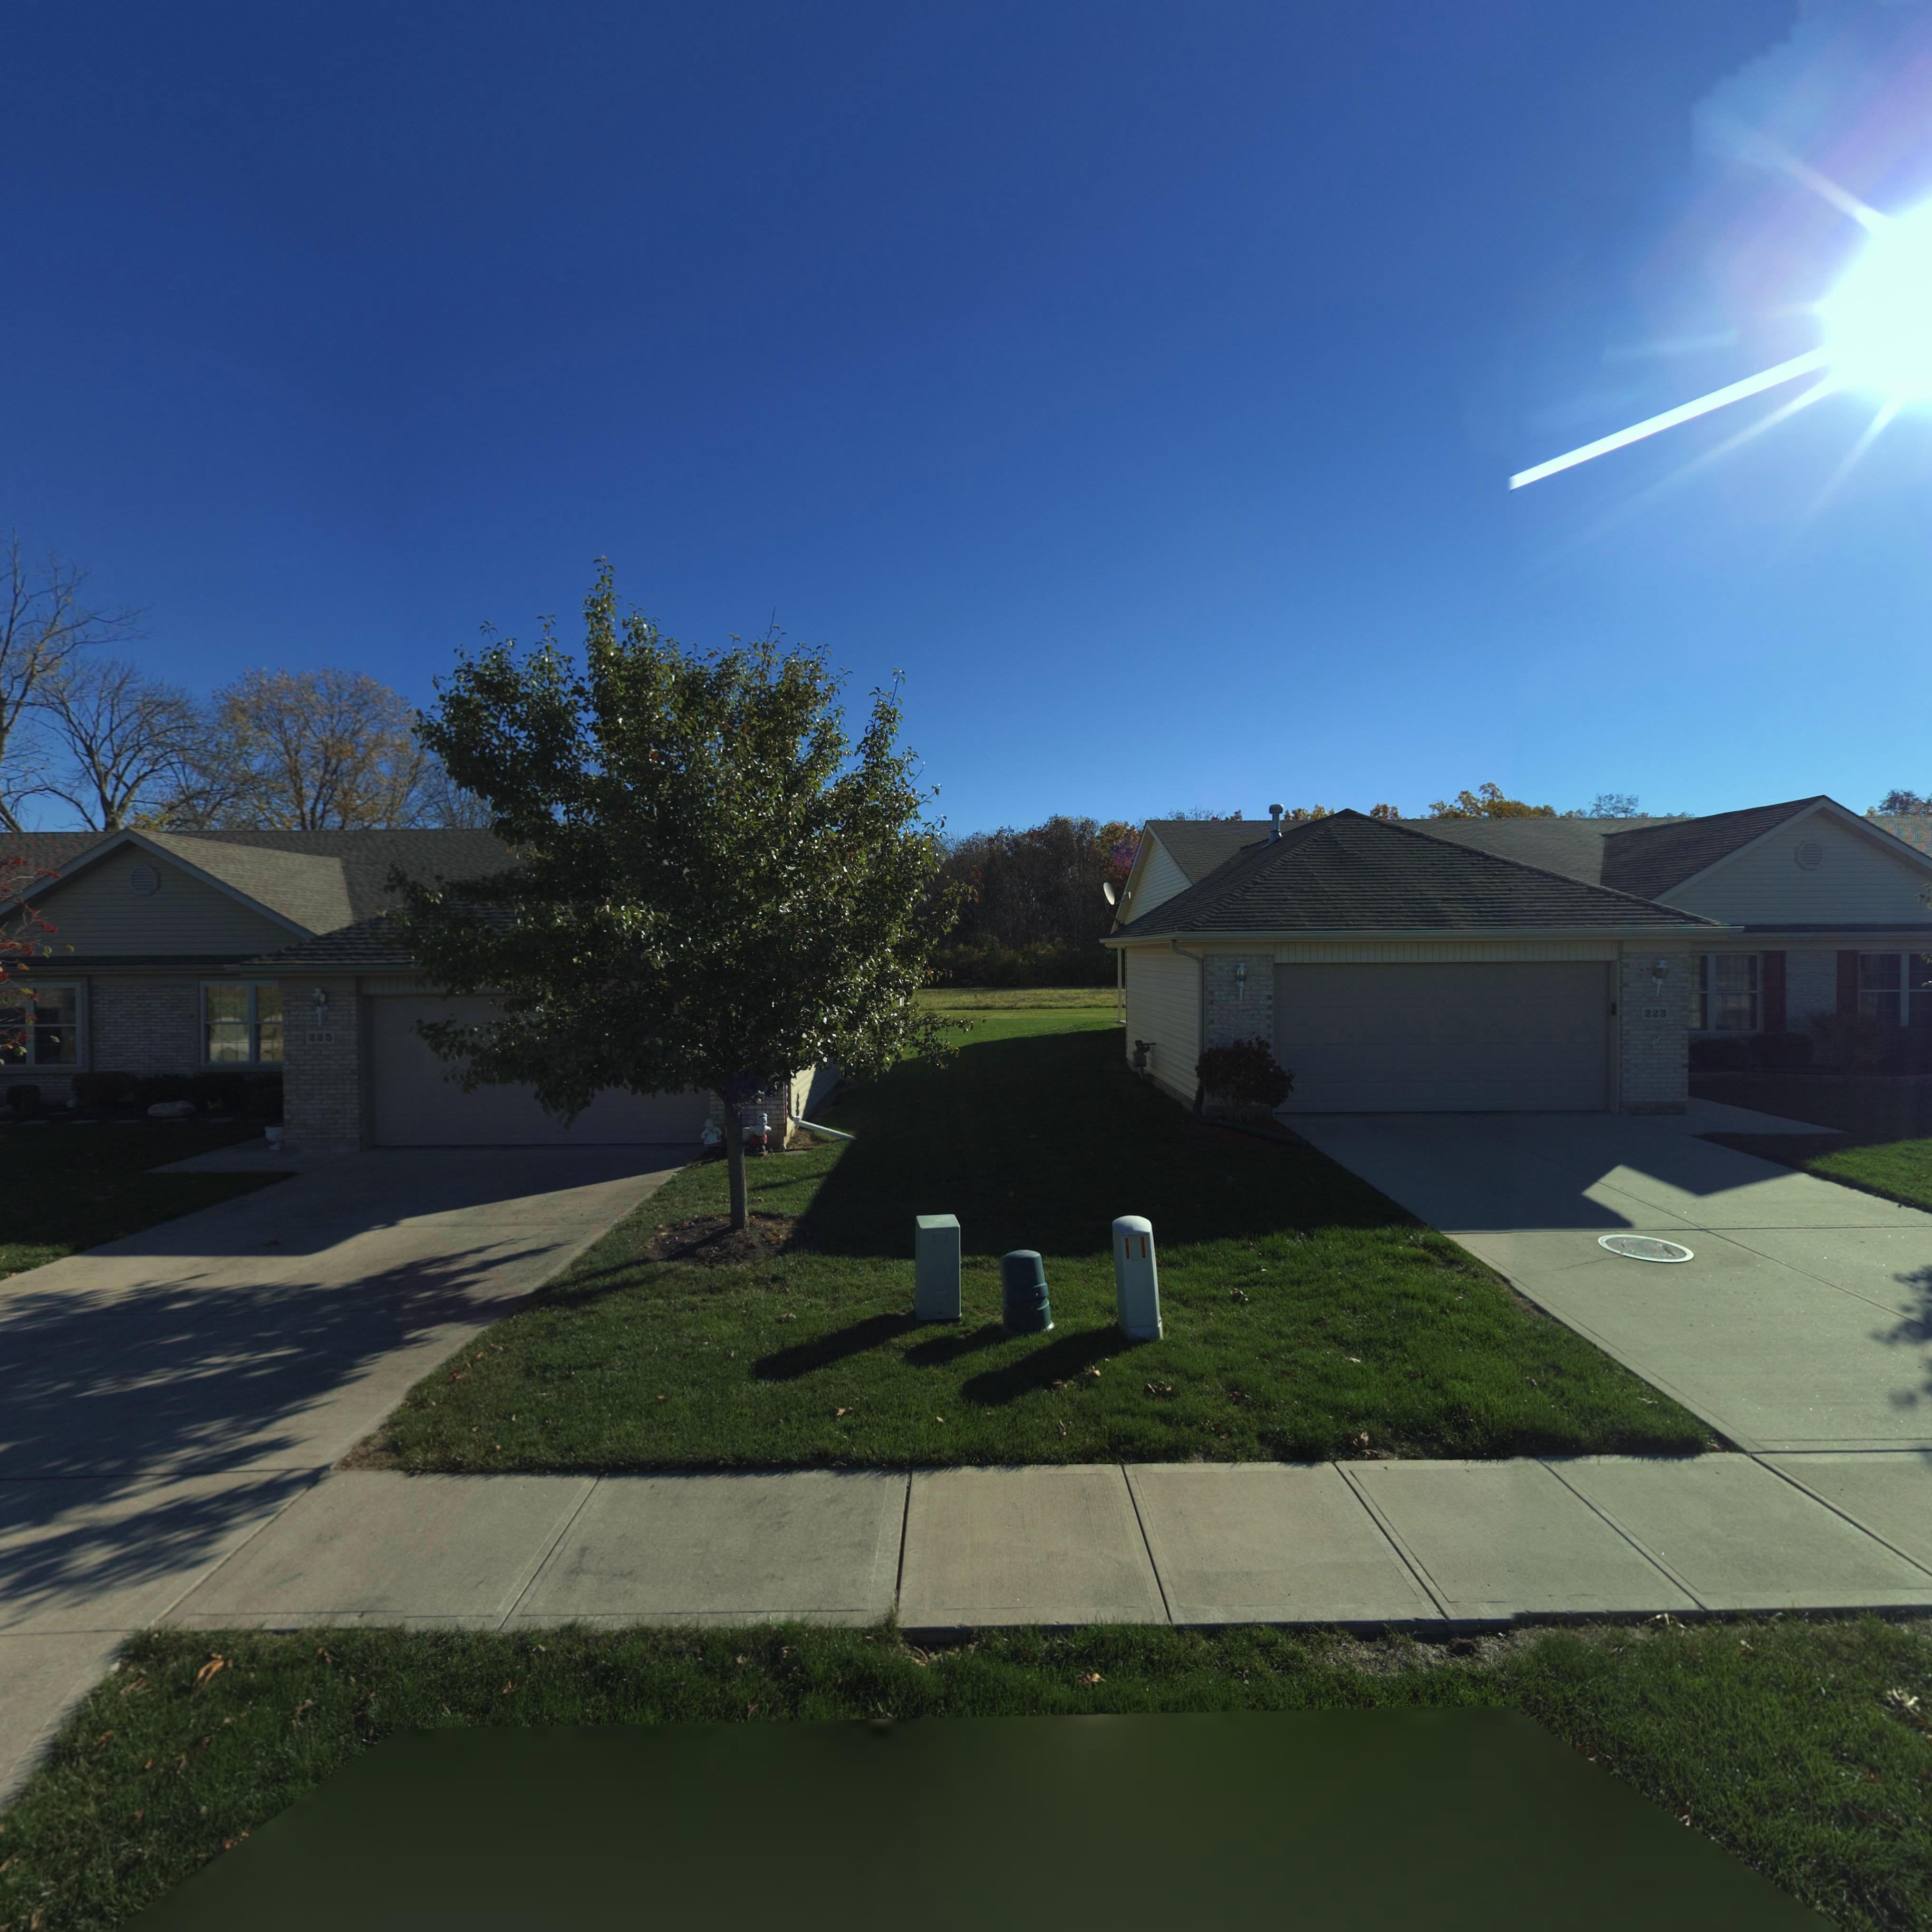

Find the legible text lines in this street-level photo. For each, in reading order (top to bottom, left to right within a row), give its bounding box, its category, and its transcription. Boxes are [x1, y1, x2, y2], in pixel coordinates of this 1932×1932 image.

[1644, 1008, 1667, 1018] StreetNumber: 223
[307, 1032, 333, 1043] StreetNumber: 225